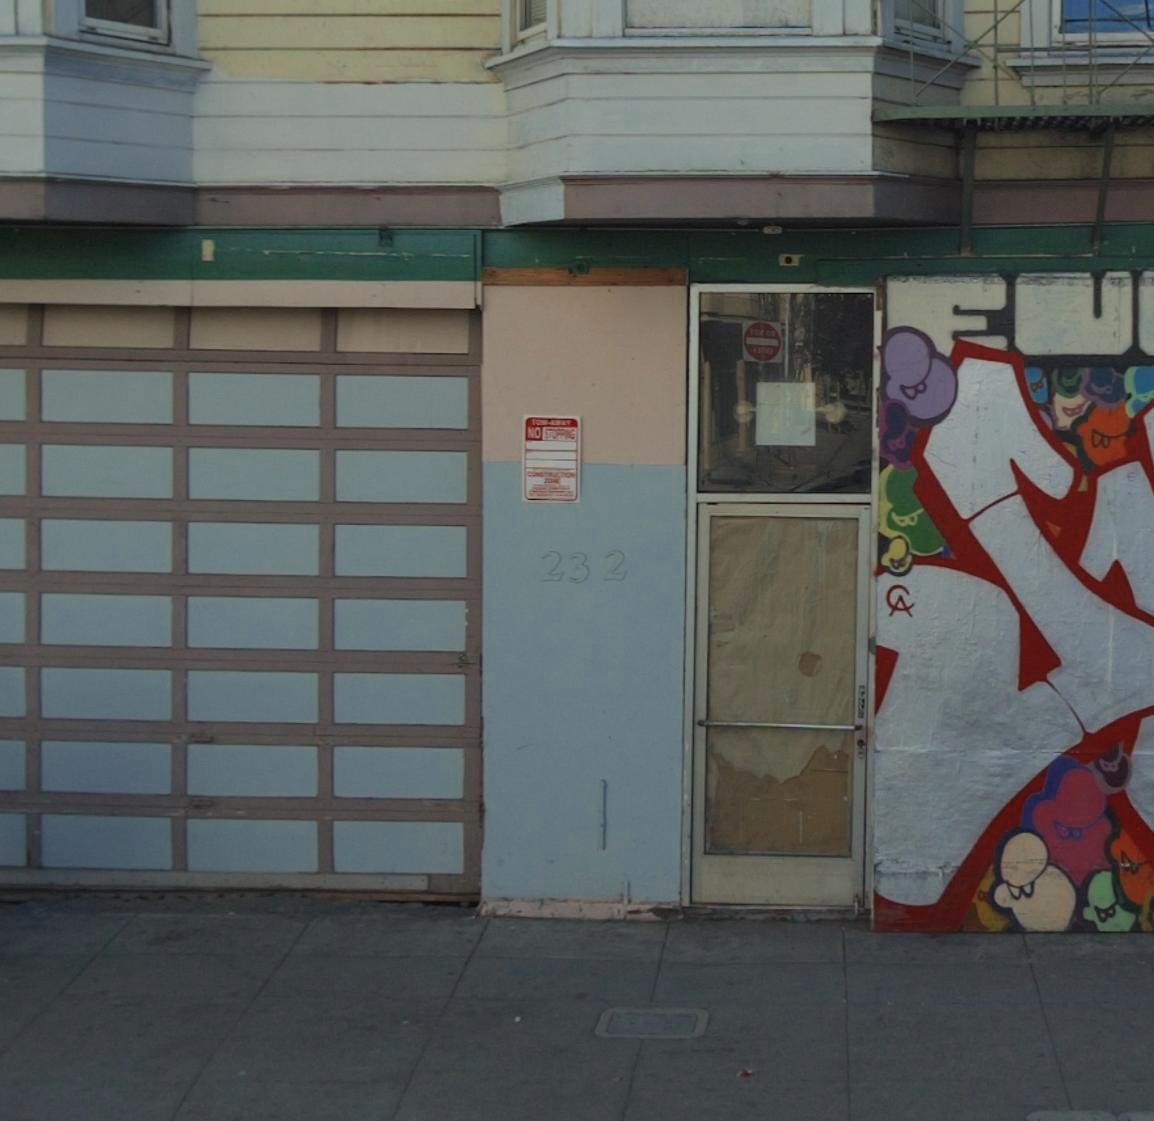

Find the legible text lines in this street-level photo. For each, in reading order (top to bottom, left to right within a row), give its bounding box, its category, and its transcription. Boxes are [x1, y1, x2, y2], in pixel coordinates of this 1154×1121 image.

[528, 426, 577, 441] None: NO STOPPING
[538, 548, 629, 586] StreetNumber: 232